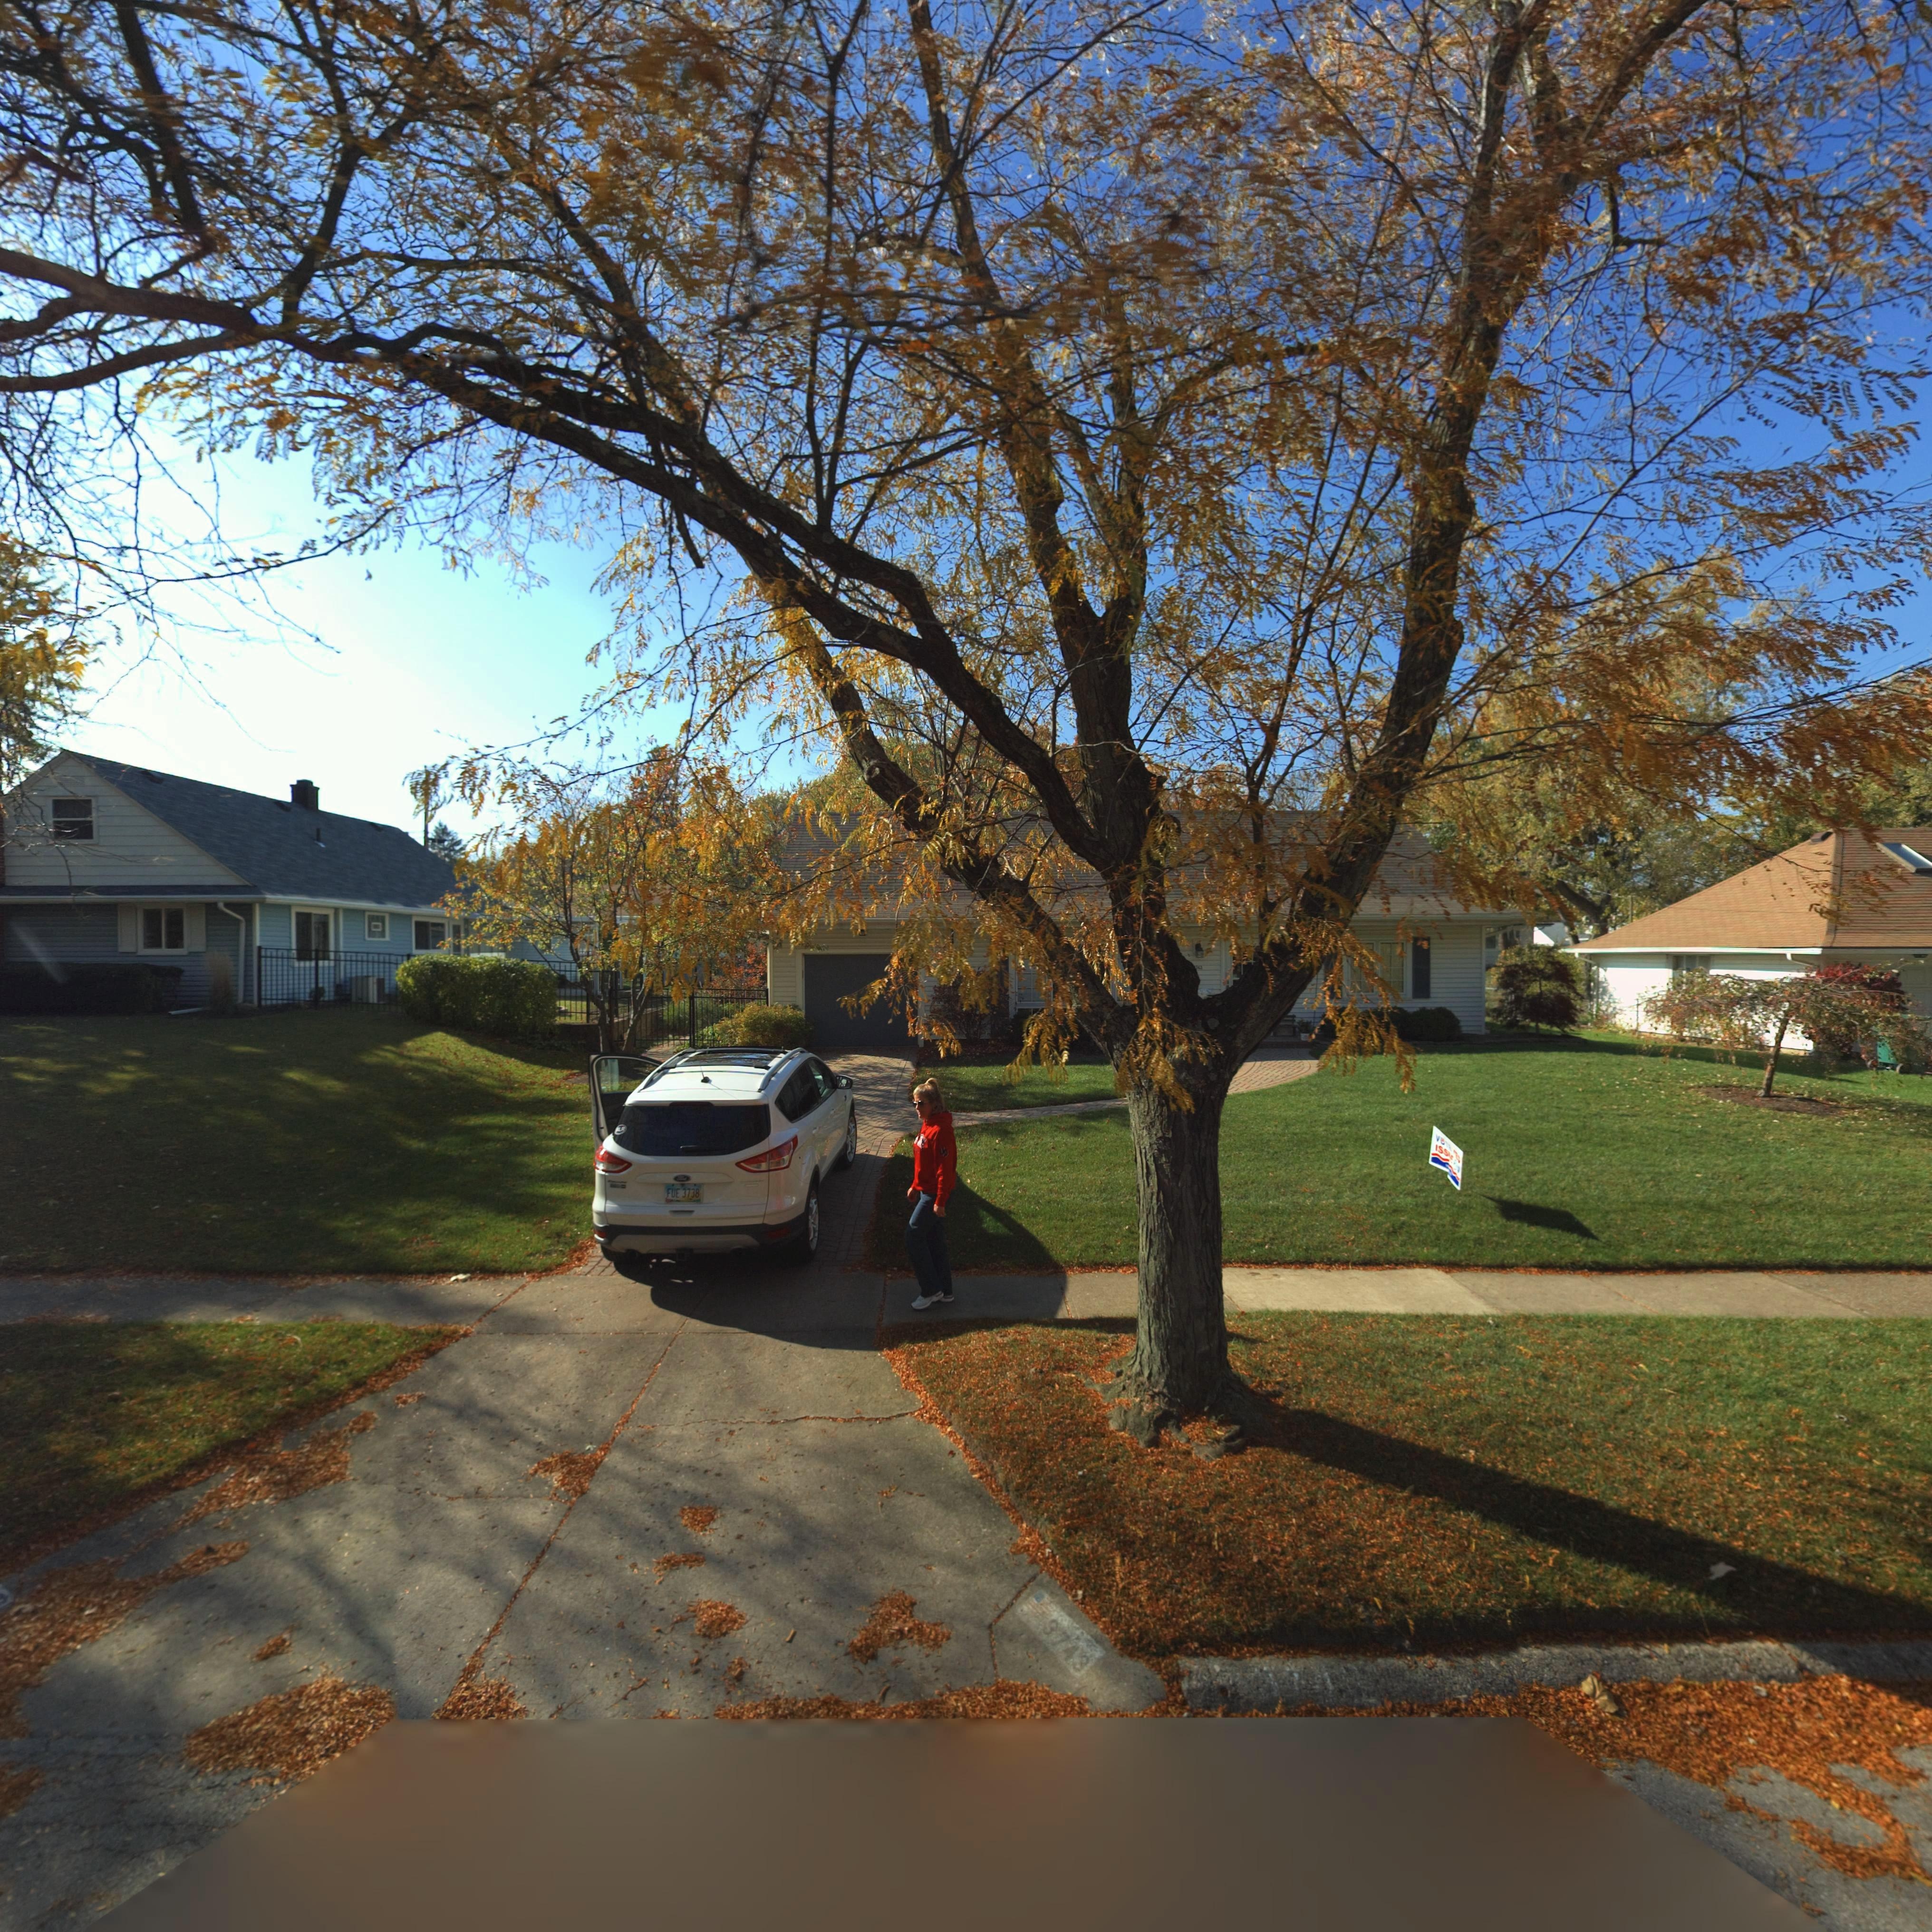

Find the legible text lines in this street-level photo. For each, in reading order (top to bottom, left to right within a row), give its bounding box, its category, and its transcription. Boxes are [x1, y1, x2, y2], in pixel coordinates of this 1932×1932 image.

[1195, 965, 1203, 970] StreetNumber: 743
[617, 1126, 626, 1132] None: LR
[1435, 1134, 1441, 1143] None: V
[1435, 1144, 1449, 1158] None: ISS
[666, 1187, 700, 1199] None: FUE*3738